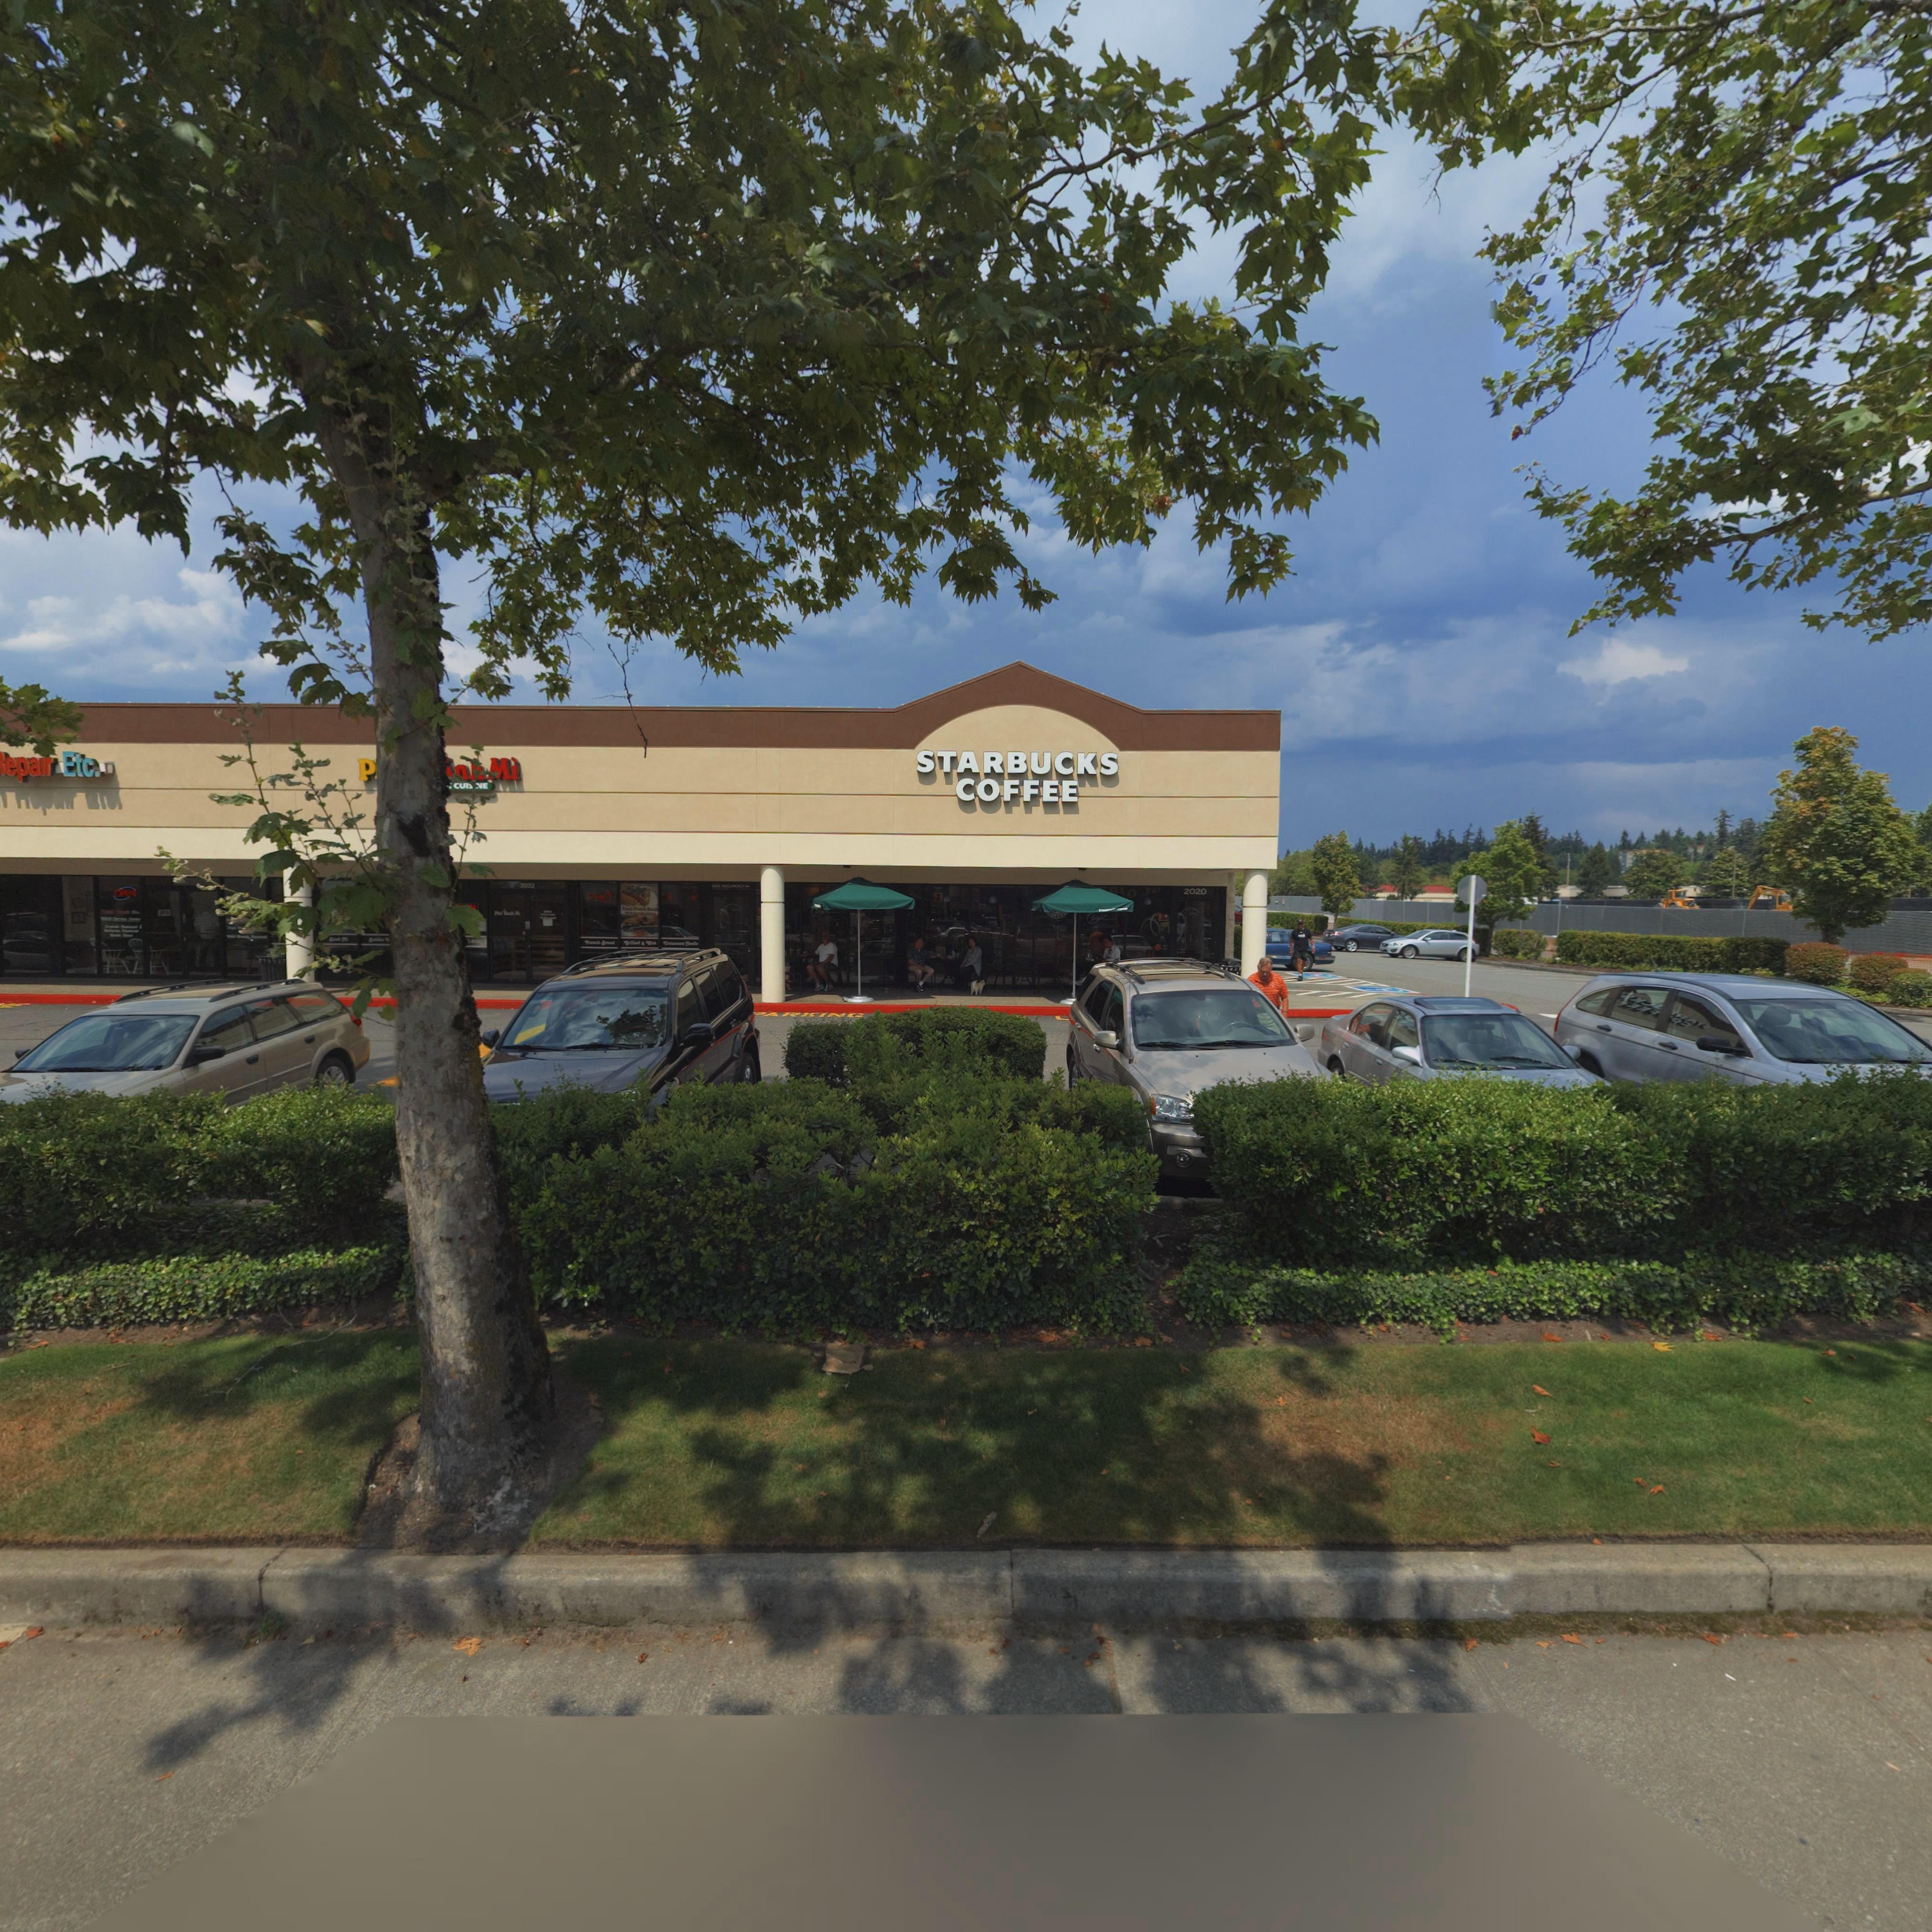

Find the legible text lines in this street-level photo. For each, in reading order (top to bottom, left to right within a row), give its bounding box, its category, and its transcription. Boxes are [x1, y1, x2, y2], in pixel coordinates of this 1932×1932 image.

[0, 750, 100, 783] BusinessName: *epair Etc.
[357, 755, 380, 781] BusinessName: P*
[444, 757, 521, 780] BusinessName: ***Mi
[917, 750, 1119, 776] BusinessName: STARBUCKS
[954, 778, 1080, 803] BusinessName: COFFEE